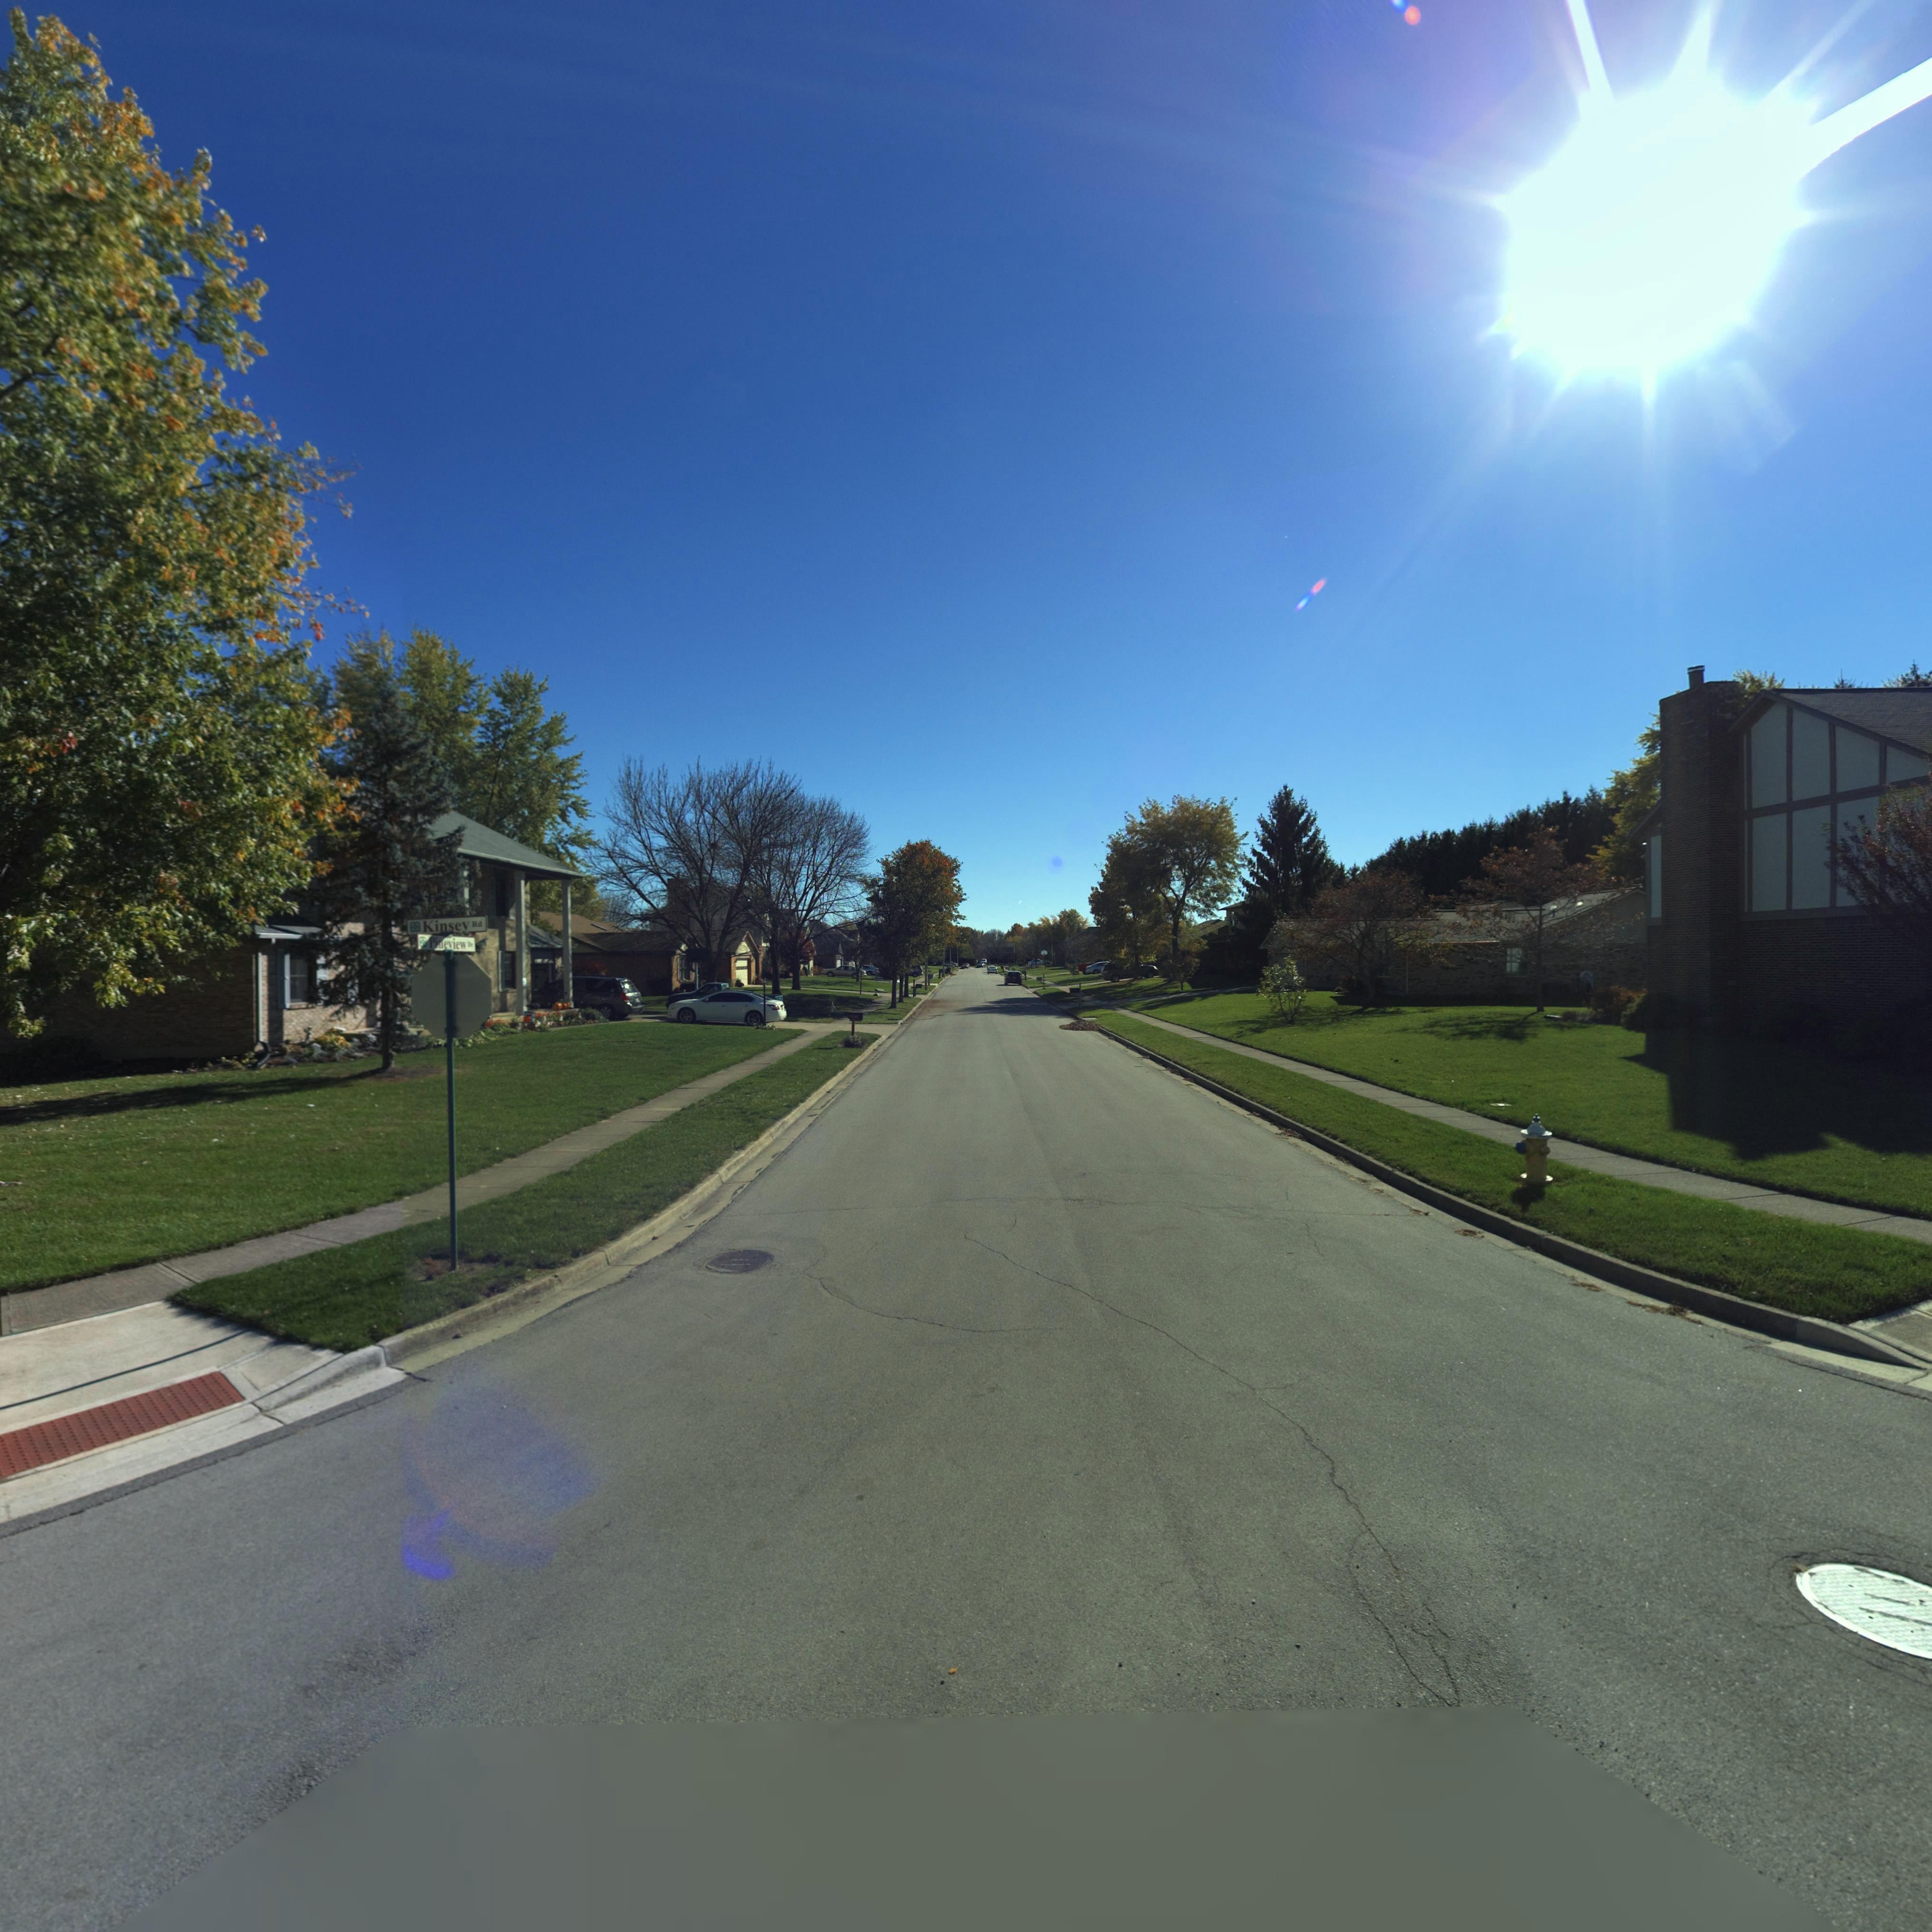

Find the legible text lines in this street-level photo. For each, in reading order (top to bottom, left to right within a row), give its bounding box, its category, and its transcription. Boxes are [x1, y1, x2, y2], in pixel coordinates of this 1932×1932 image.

[422, 919, 483, 933] StreetName: Kinsey Rd
[428, 936, 467, 950] StreetName: Pineview
[850, 1014, 859, 1019] StreetNumber: 72**